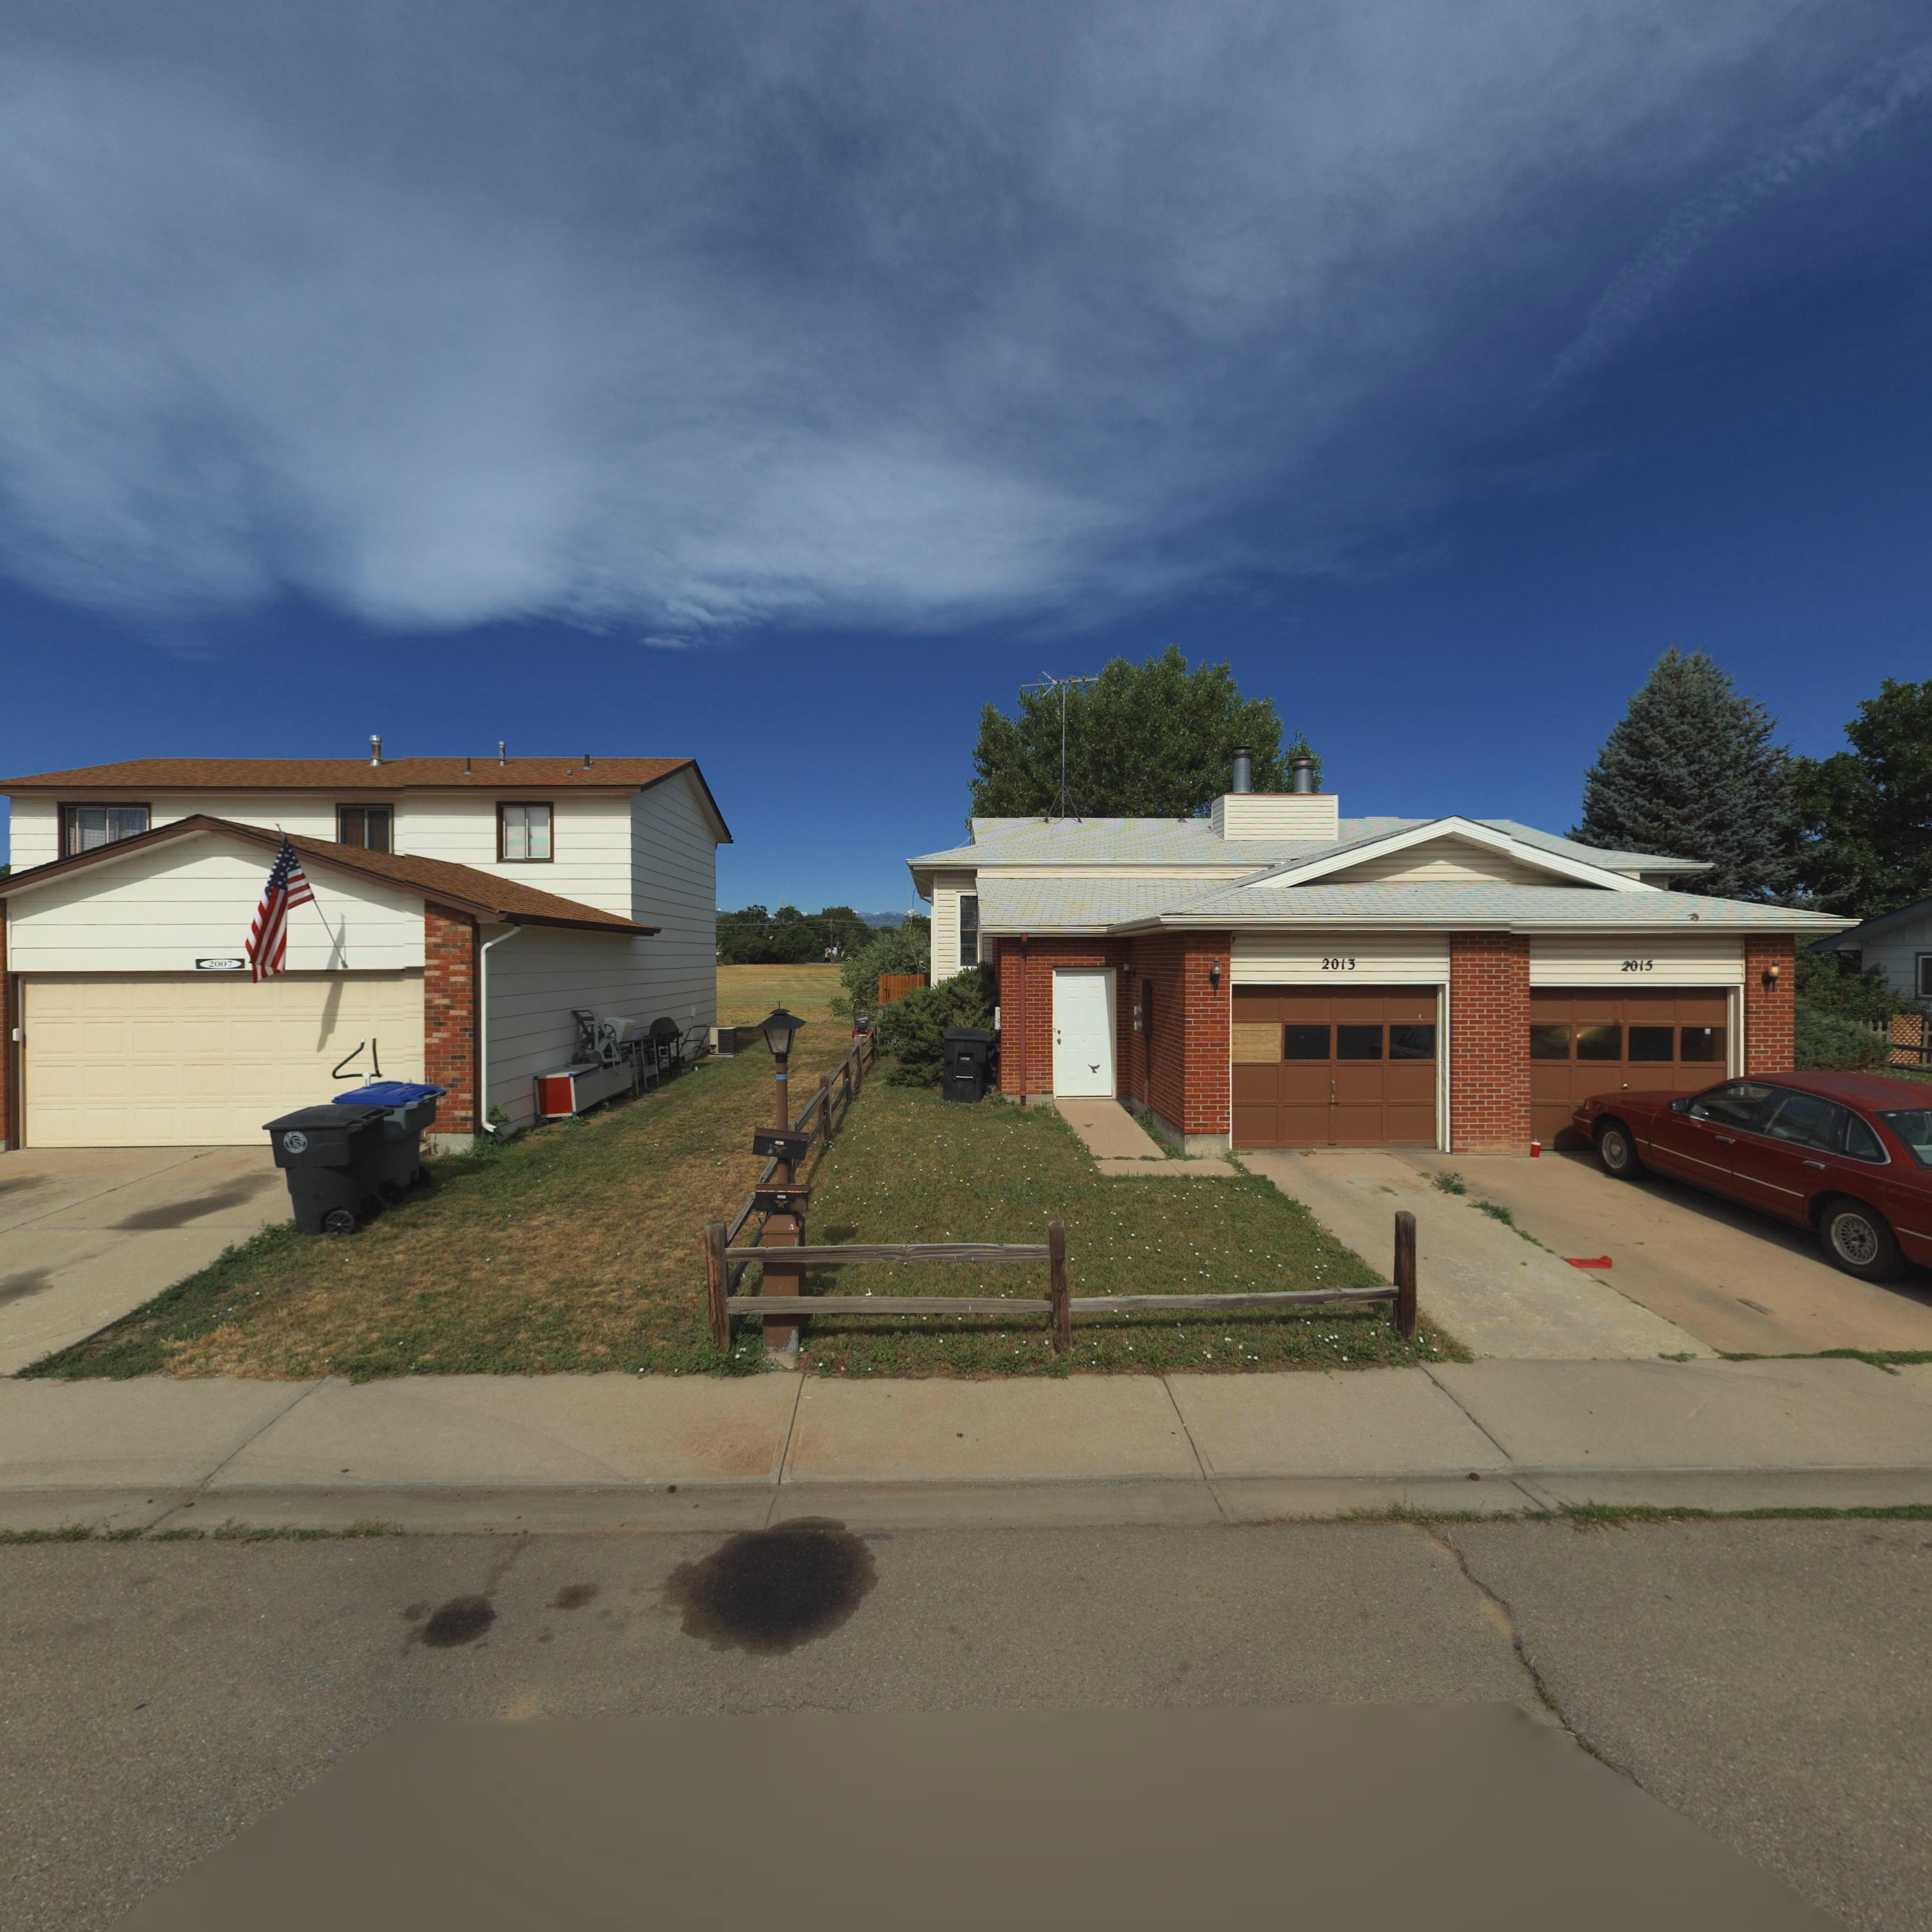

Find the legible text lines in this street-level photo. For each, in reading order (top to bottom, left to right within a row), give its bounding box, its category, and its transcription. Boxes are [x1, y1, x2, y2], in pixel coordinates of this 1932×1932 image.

[208, 961, 232, 966] StreetNumber: 2007
[1321, 958, 1355, 970] StreetNumber: 2013
[1620, 960, 1652, 971] StreetNumber: 2015